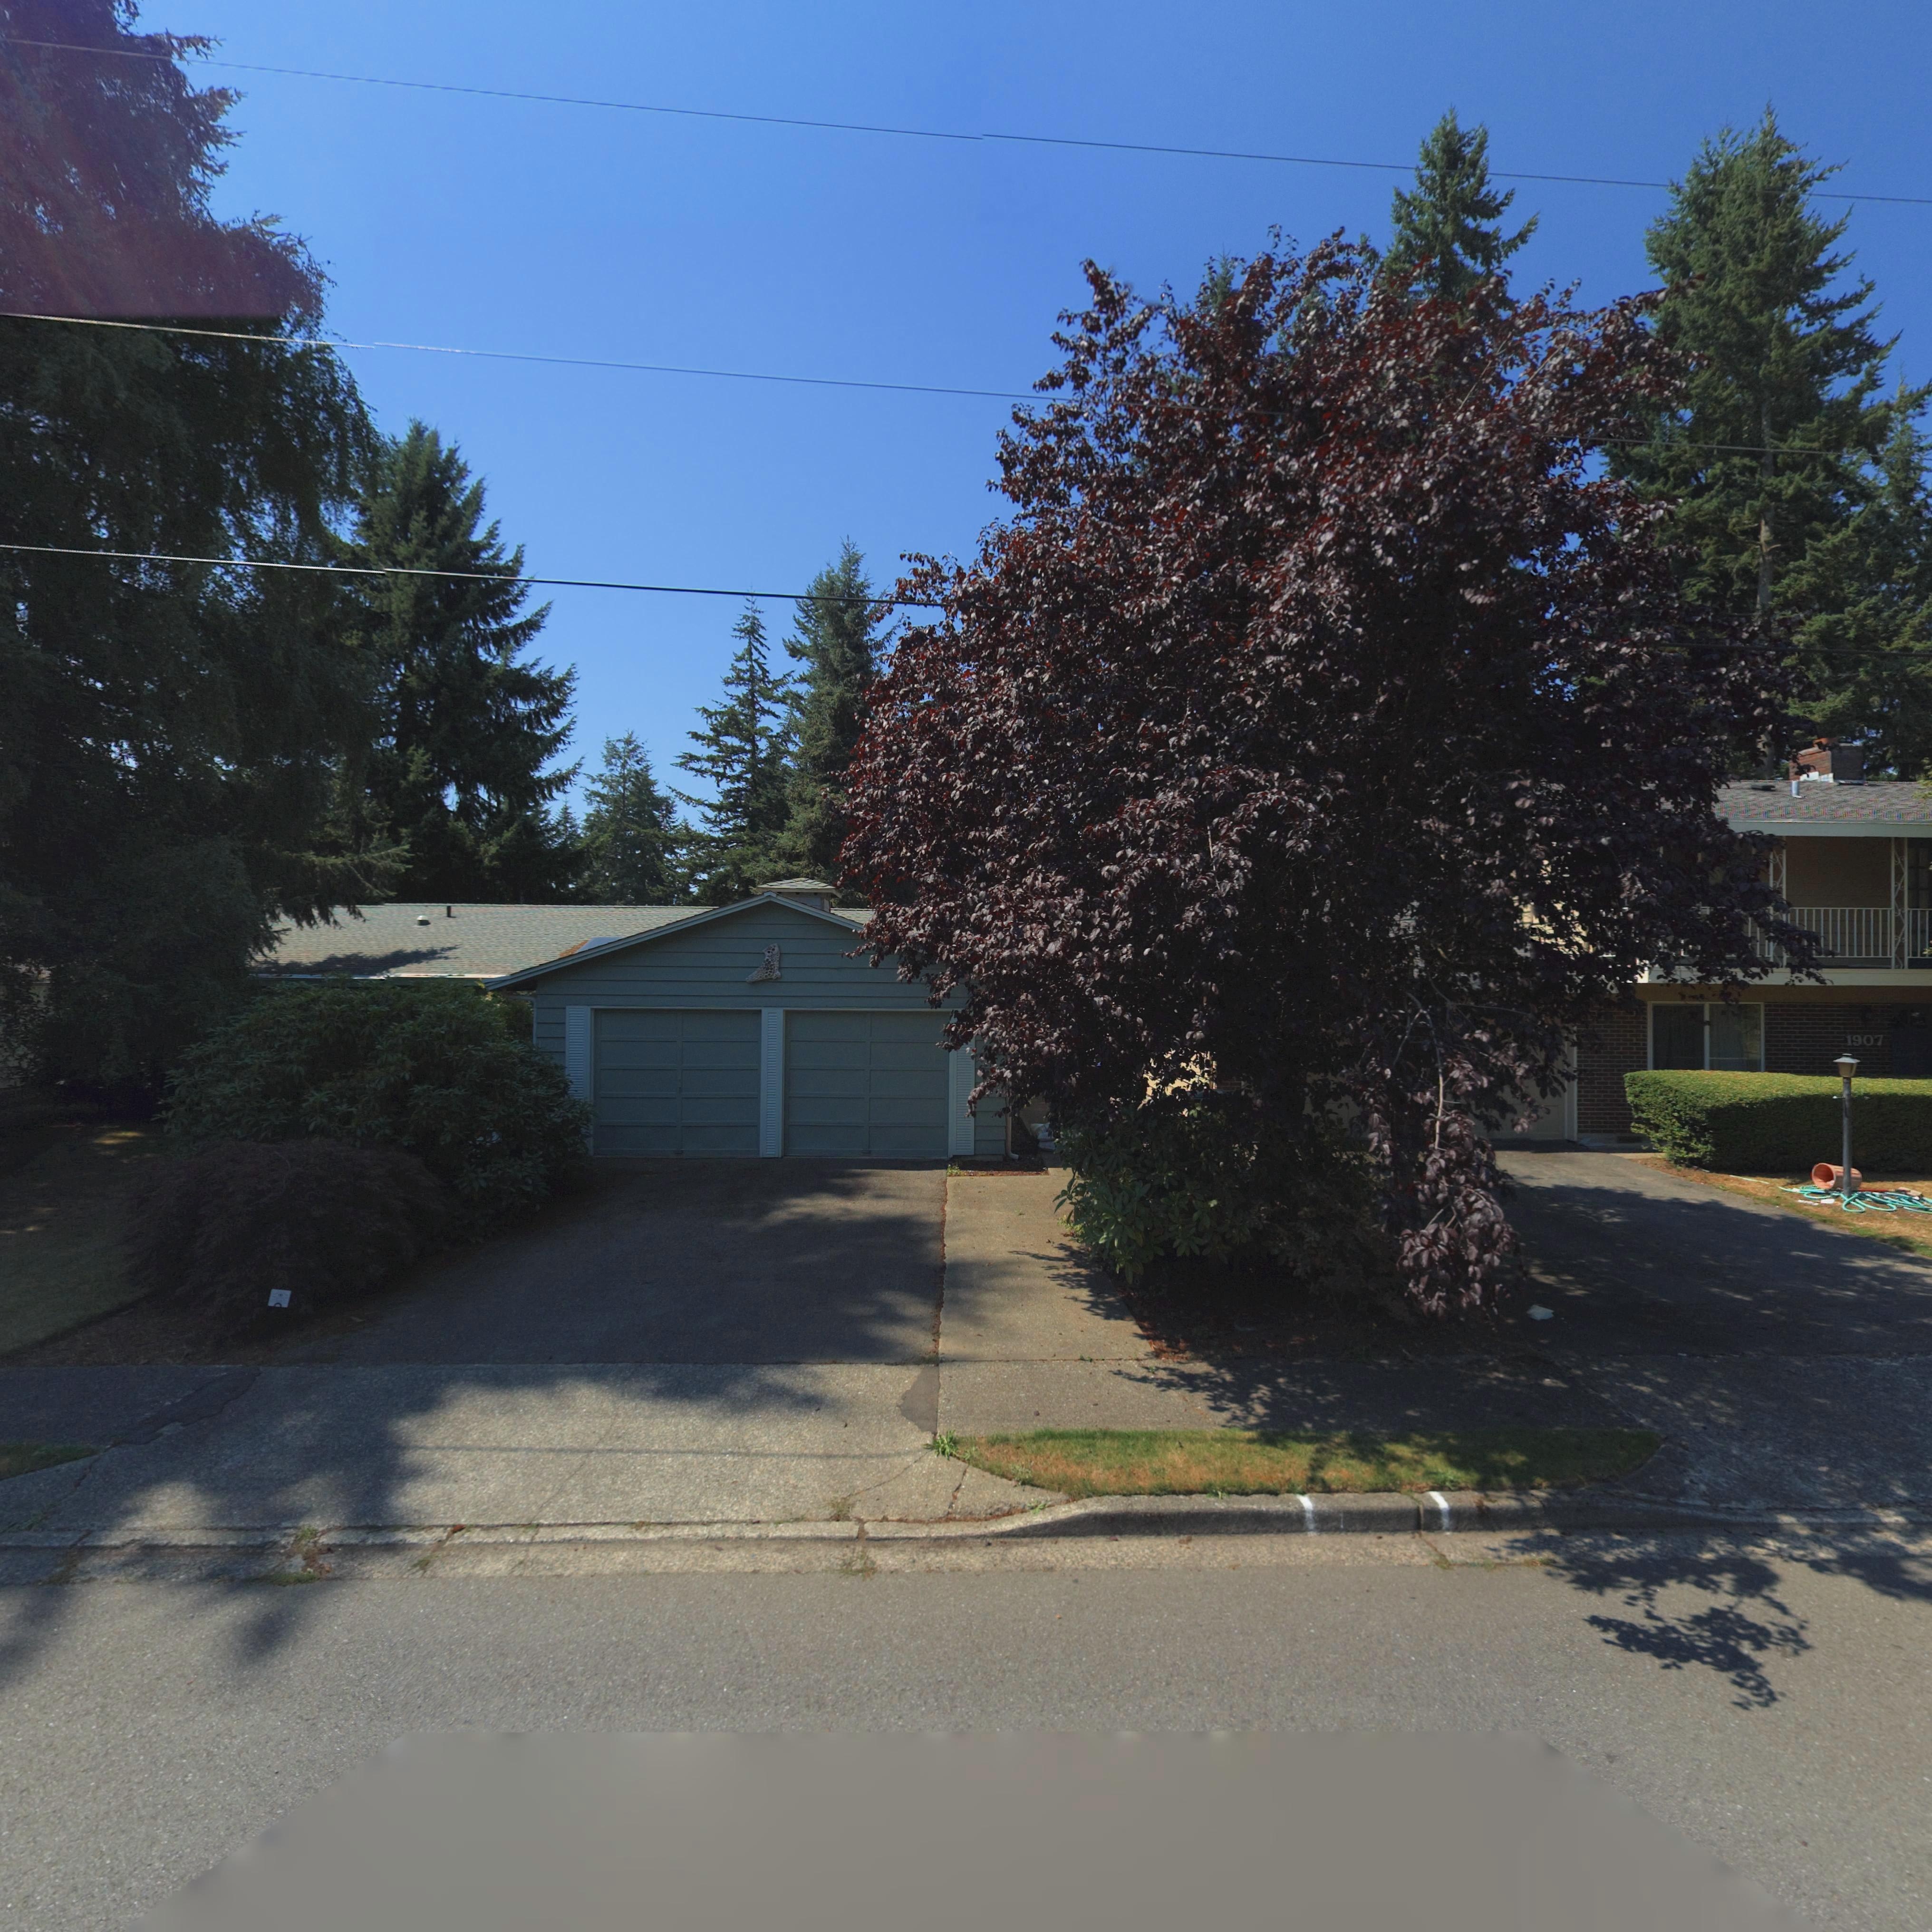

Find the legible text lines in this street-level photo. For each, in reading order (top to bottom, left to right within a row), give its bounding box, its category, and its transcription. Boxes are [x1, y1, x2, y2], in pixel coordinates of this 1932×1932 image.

[1846, 1033, 1885, 1047] StreetNumber: 1907